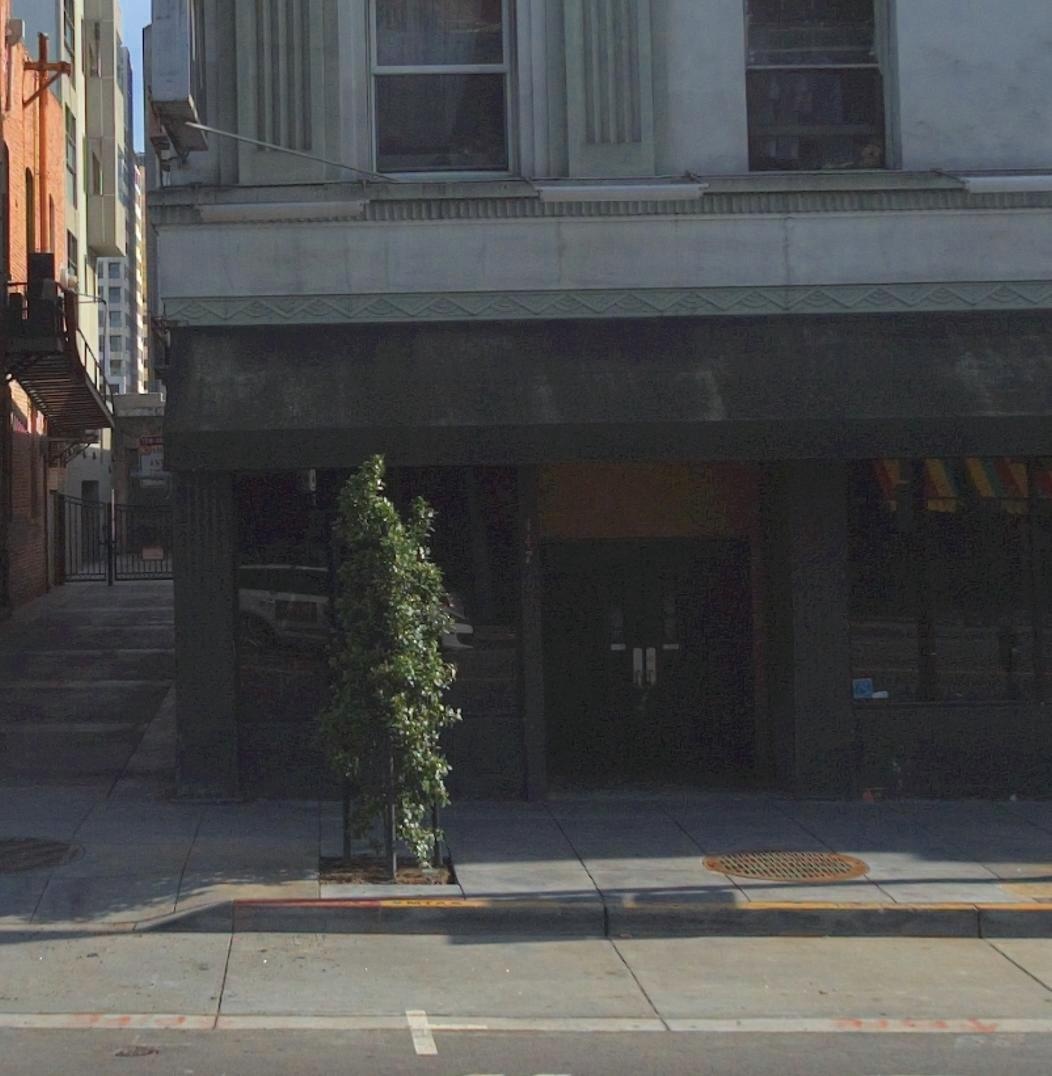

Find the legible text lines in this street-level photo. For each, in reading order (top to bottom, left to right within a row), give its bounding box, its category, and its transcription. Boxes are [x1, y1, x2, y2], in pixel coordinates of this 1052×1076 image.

[520, 513, 537, 568] StreetNumber: 447